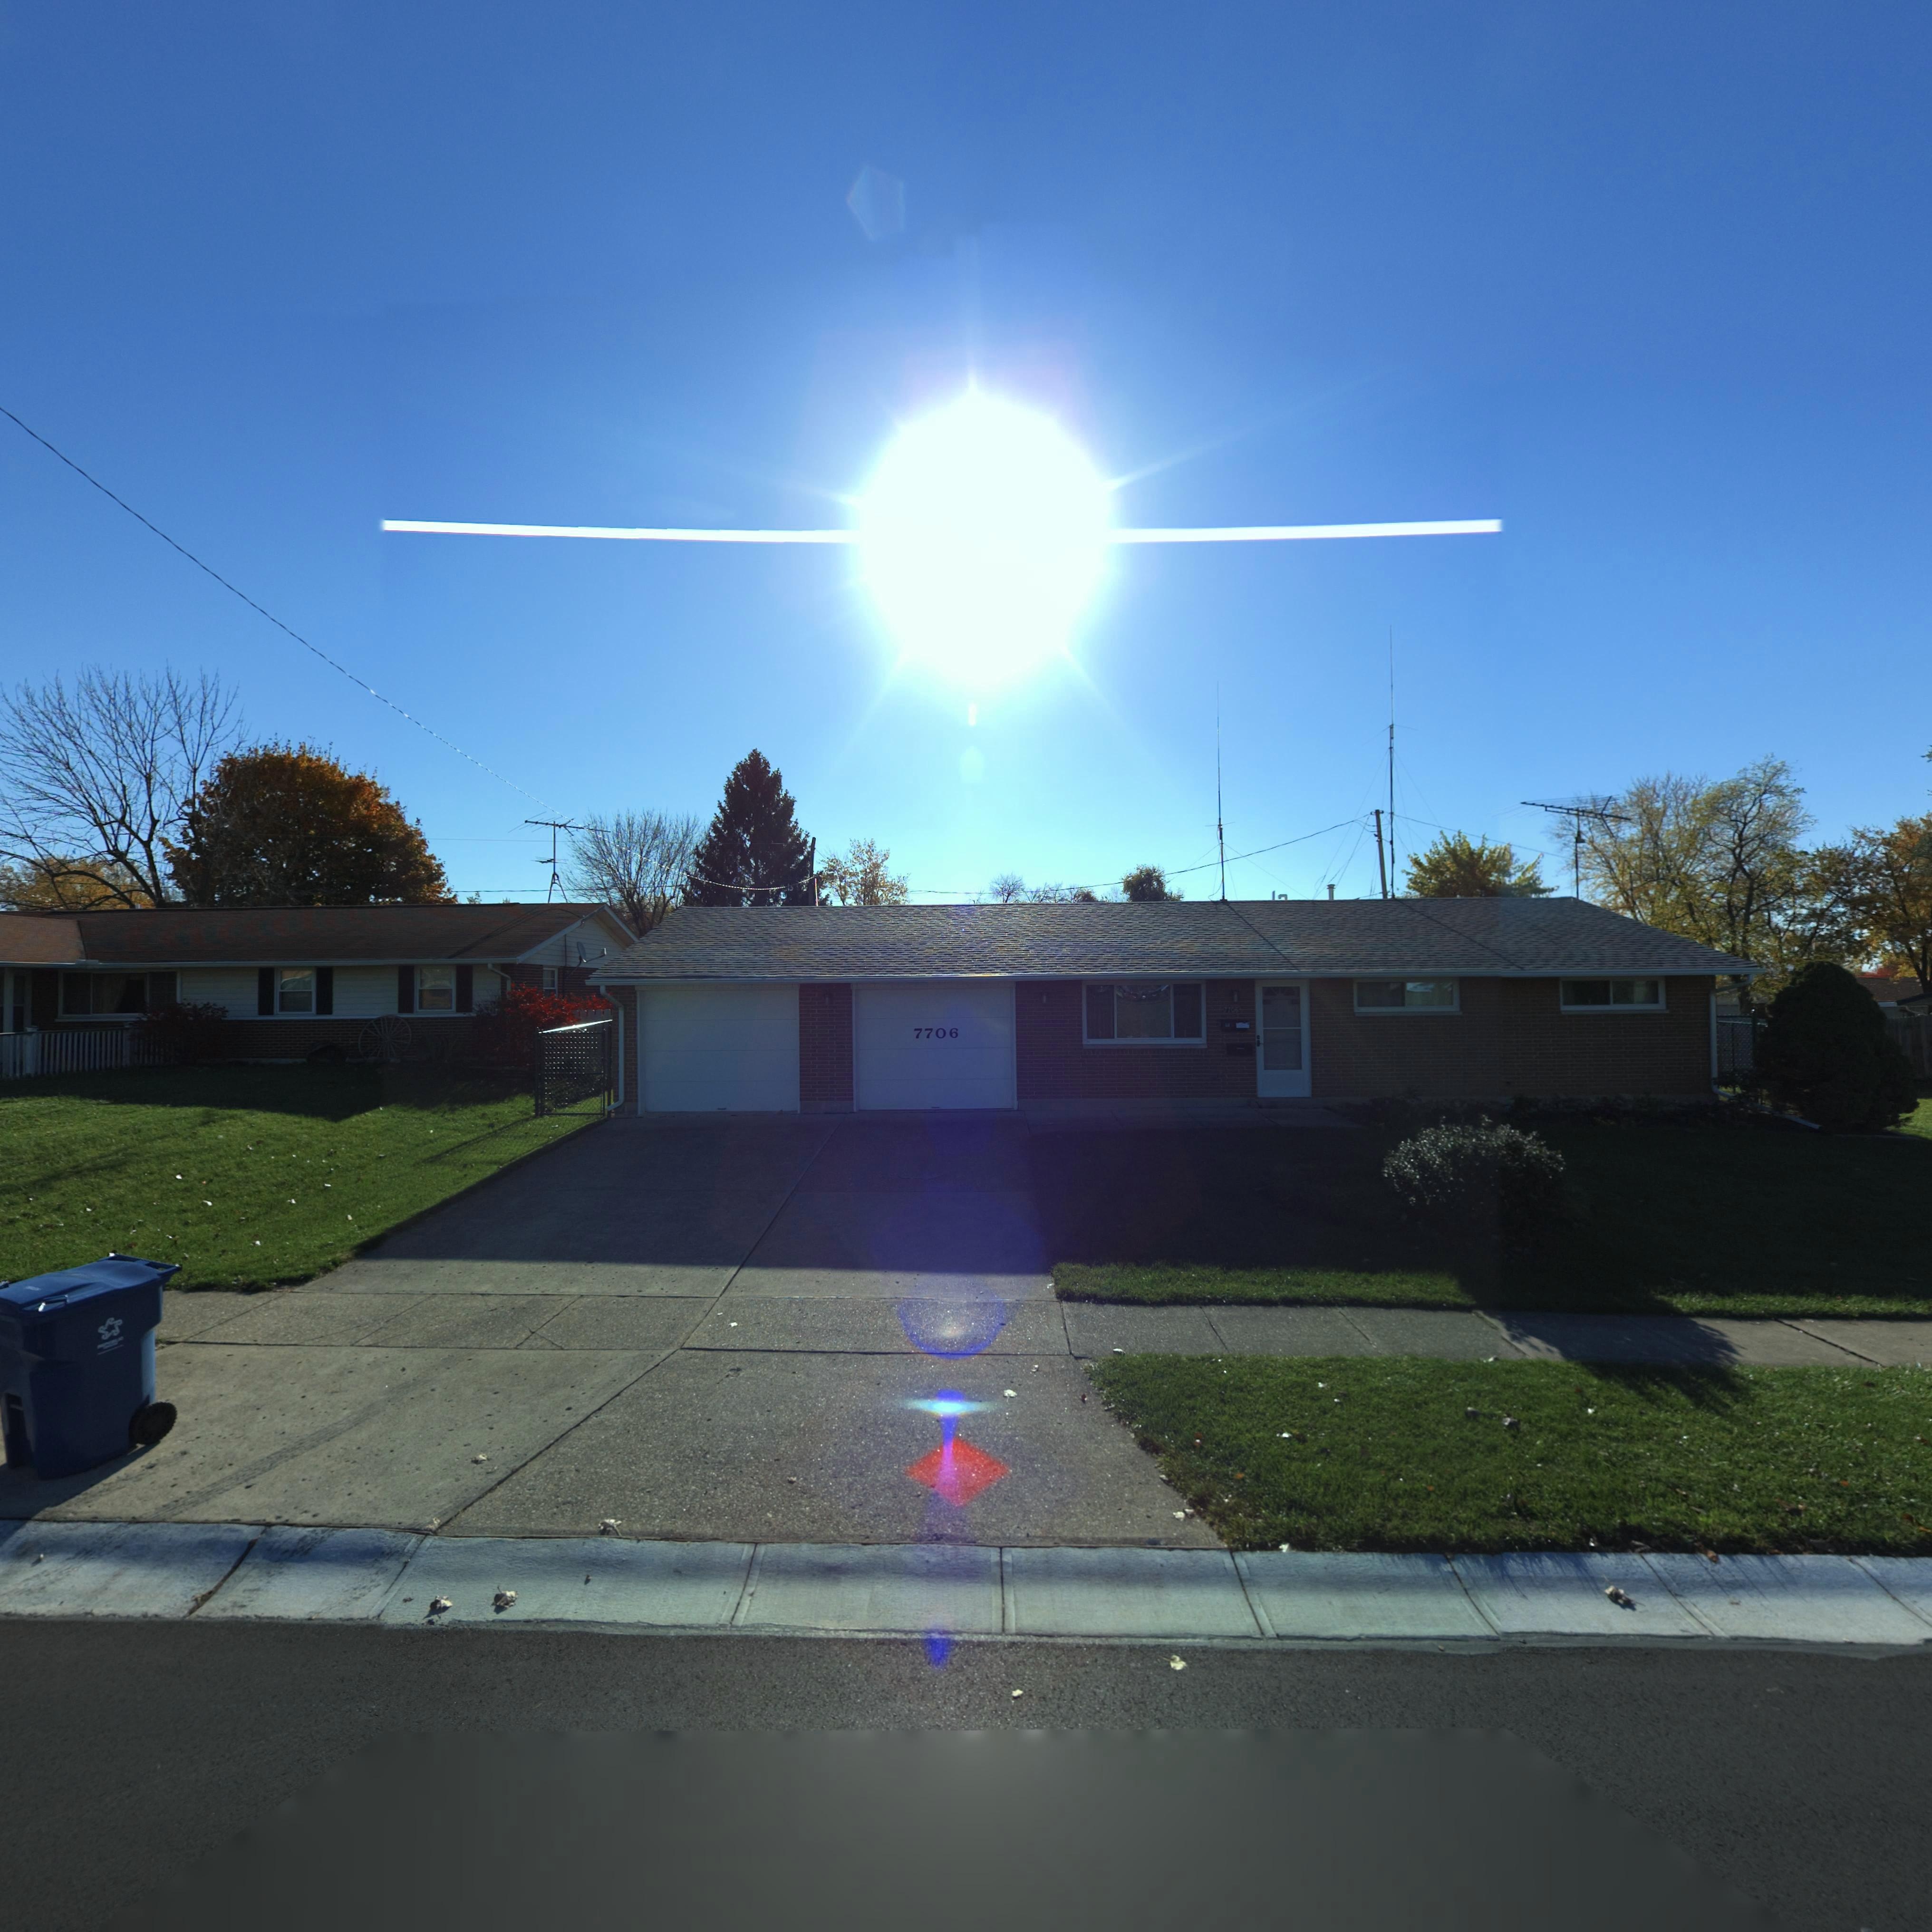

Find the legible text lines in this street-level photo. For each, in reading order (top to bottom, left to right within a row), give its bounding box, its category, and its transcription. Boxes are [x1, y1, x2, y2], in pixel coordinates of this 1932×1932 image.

[1223, 1006, 1240, 1014] StreetNumber: 7706
[913, 1027, 960, 1040] StreetNumber: 7706